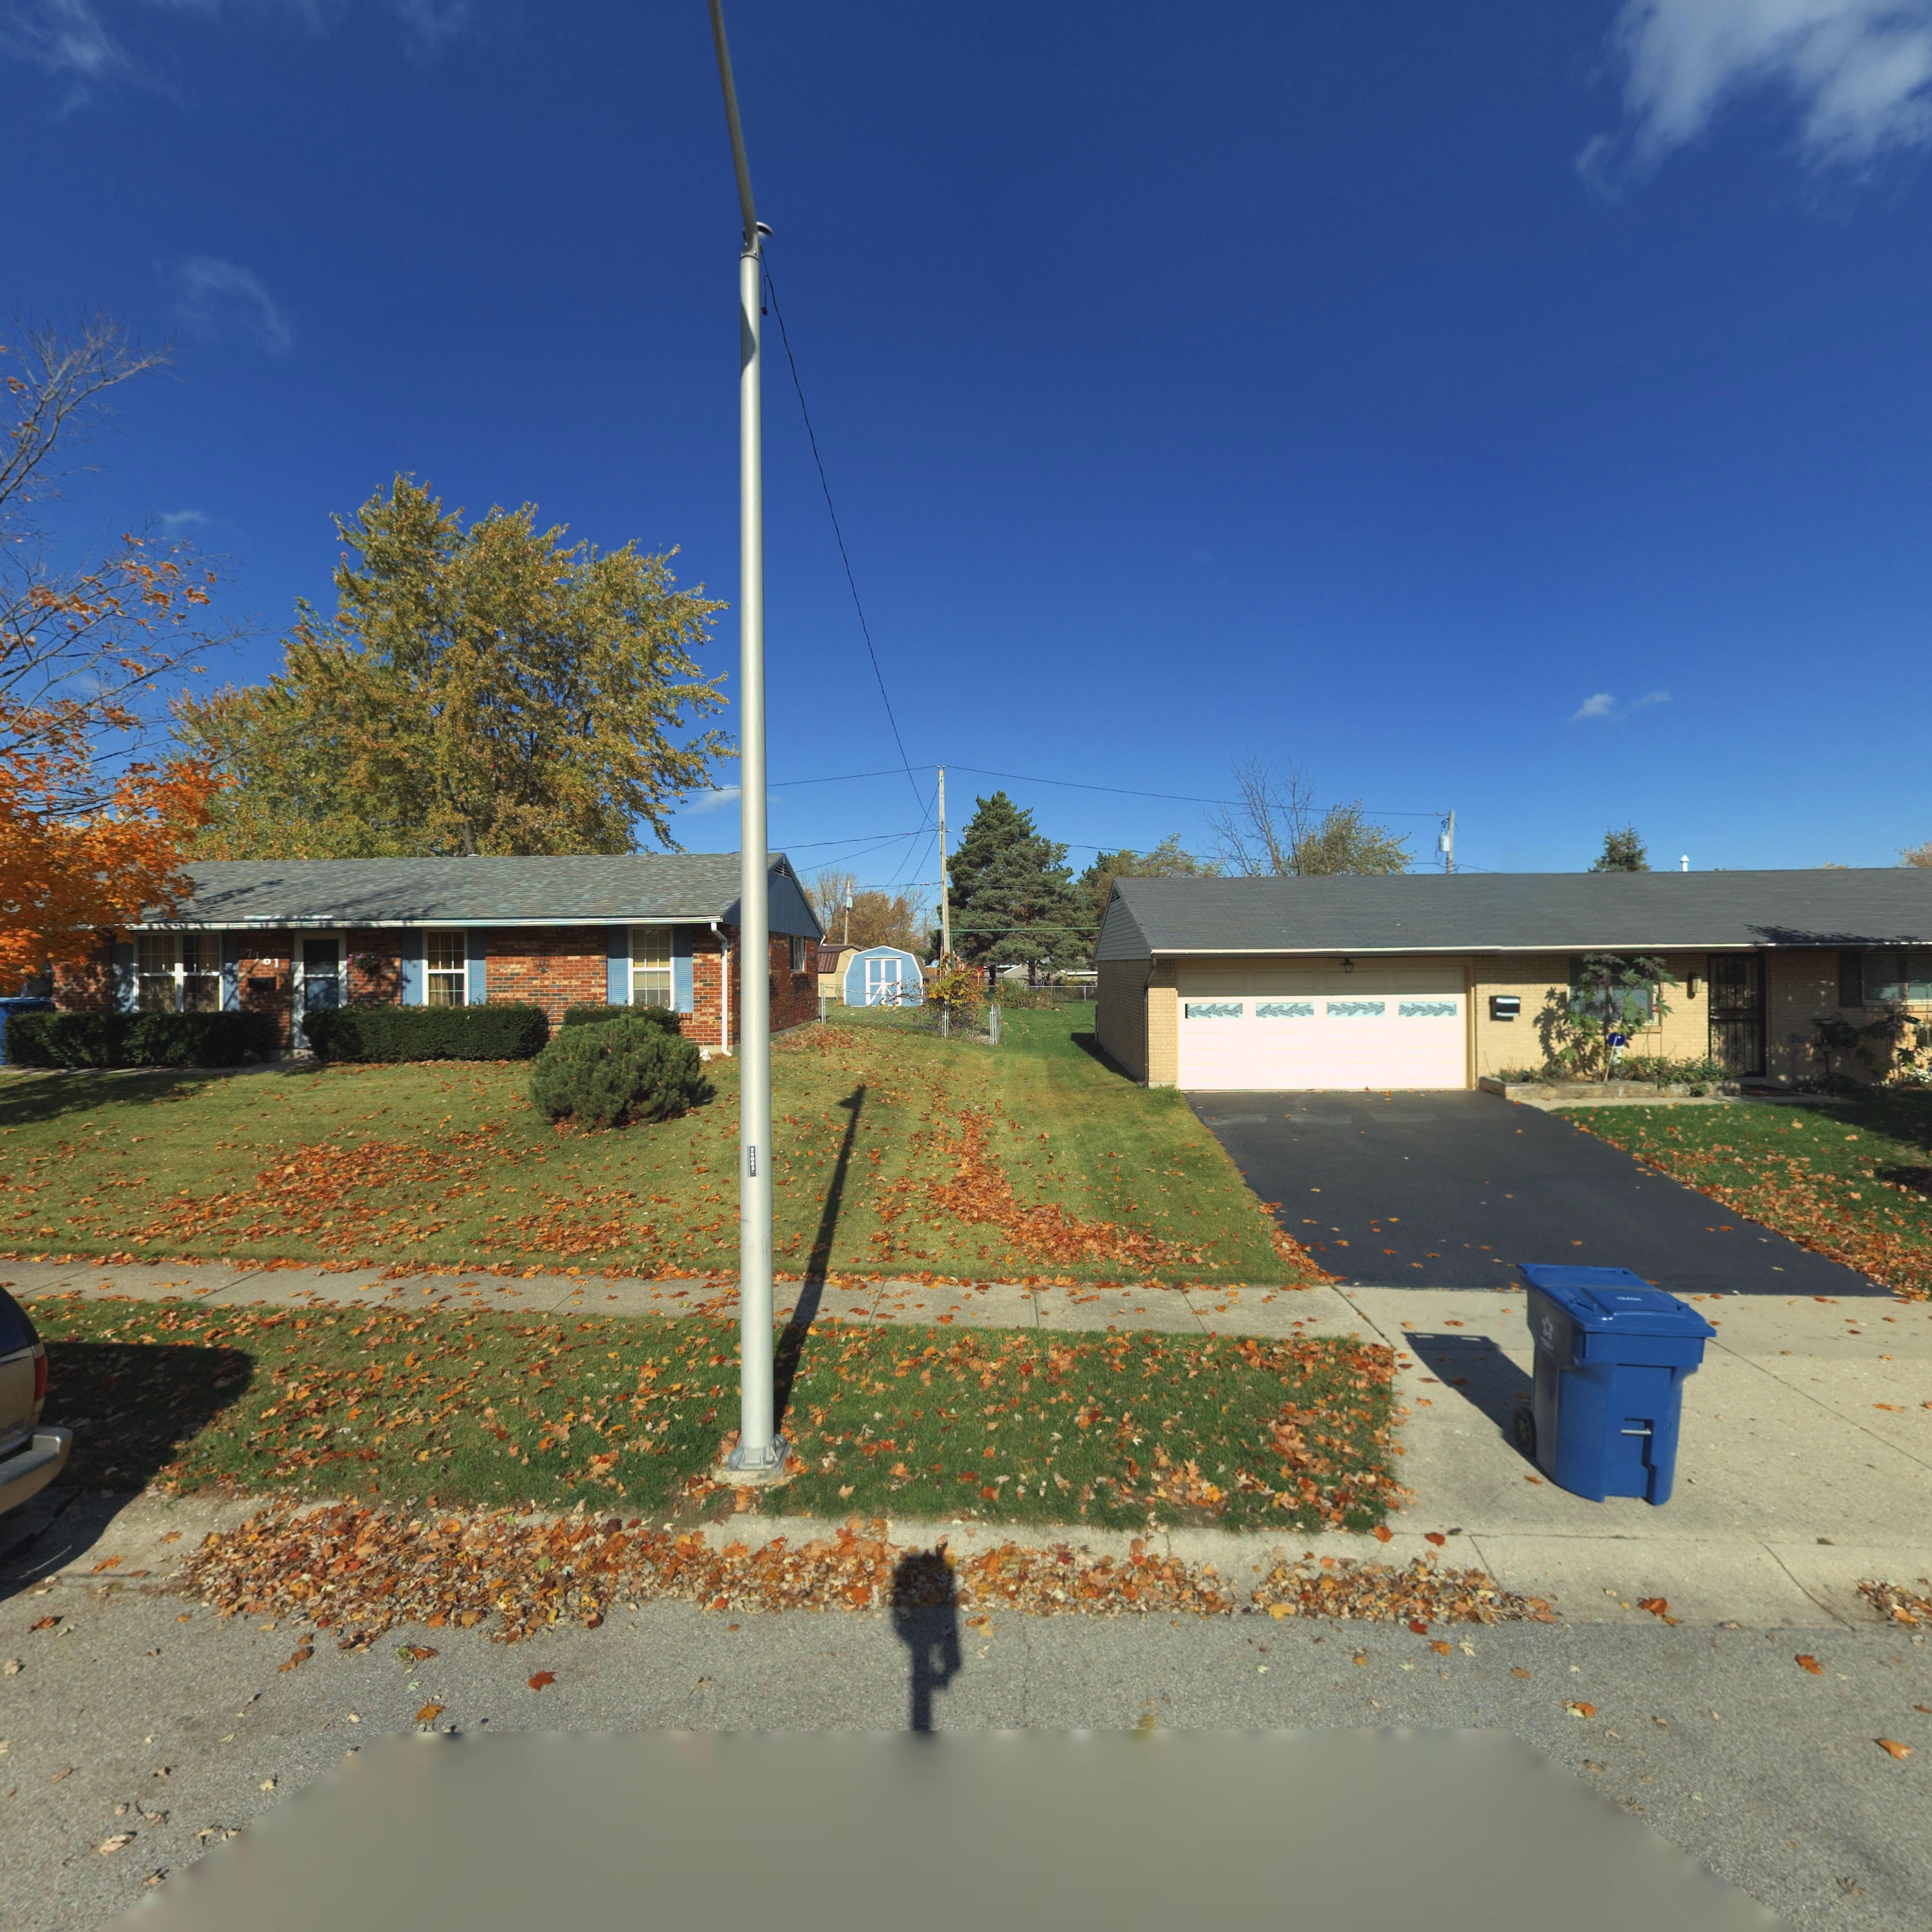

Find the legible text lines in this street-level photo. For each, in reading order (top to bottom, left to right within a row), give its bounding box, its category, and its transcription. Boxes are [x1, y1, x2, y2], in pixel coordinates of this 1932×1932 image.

[245, 948, 280, 969] StreetNumber: 7161